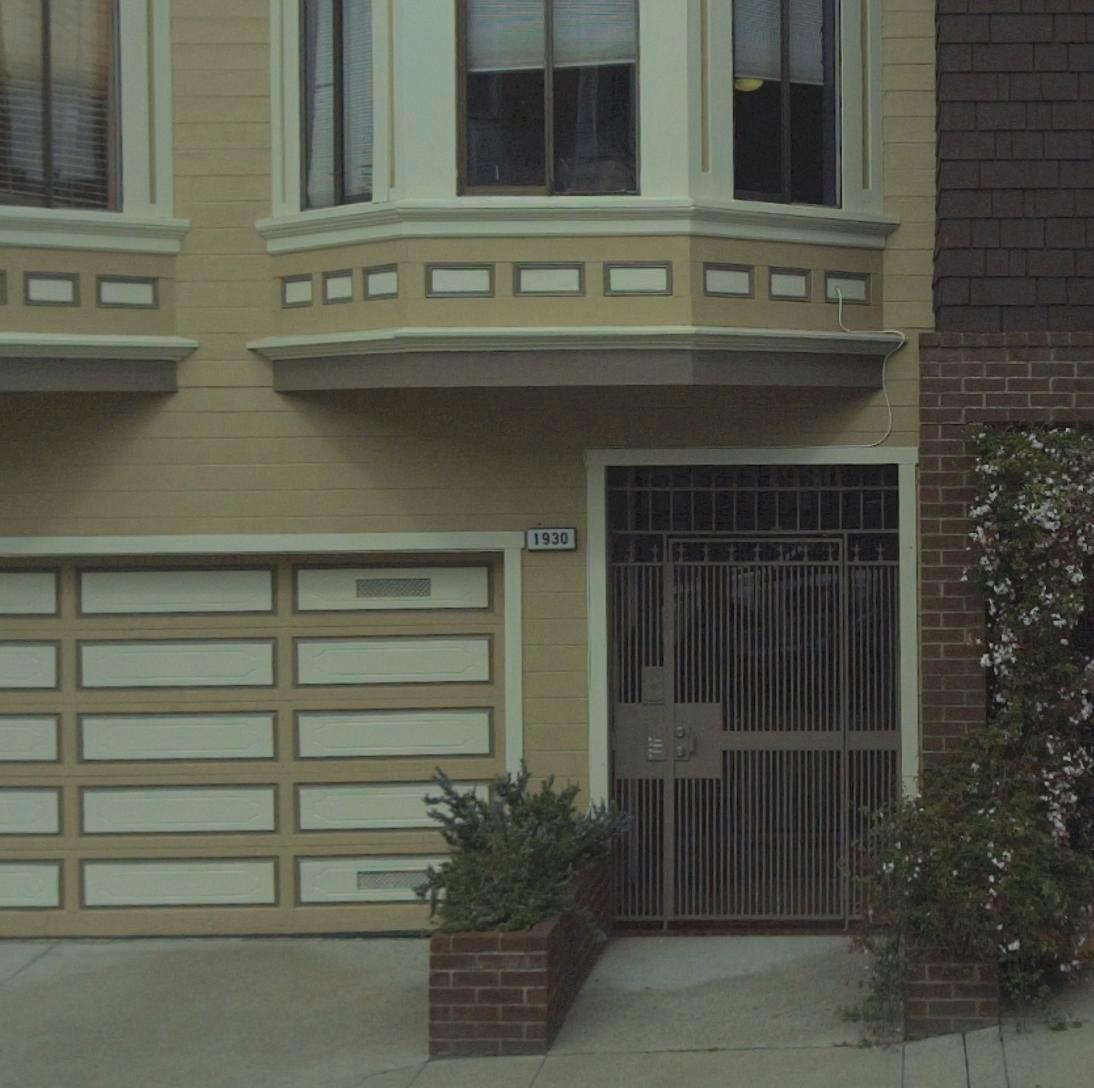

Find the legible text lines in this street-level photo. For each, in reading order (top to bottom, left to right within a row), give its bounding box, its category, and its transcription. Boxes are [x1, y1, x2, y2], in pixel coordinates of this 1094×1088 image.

[531, 531, 569, 546] StreetNumber: 1930